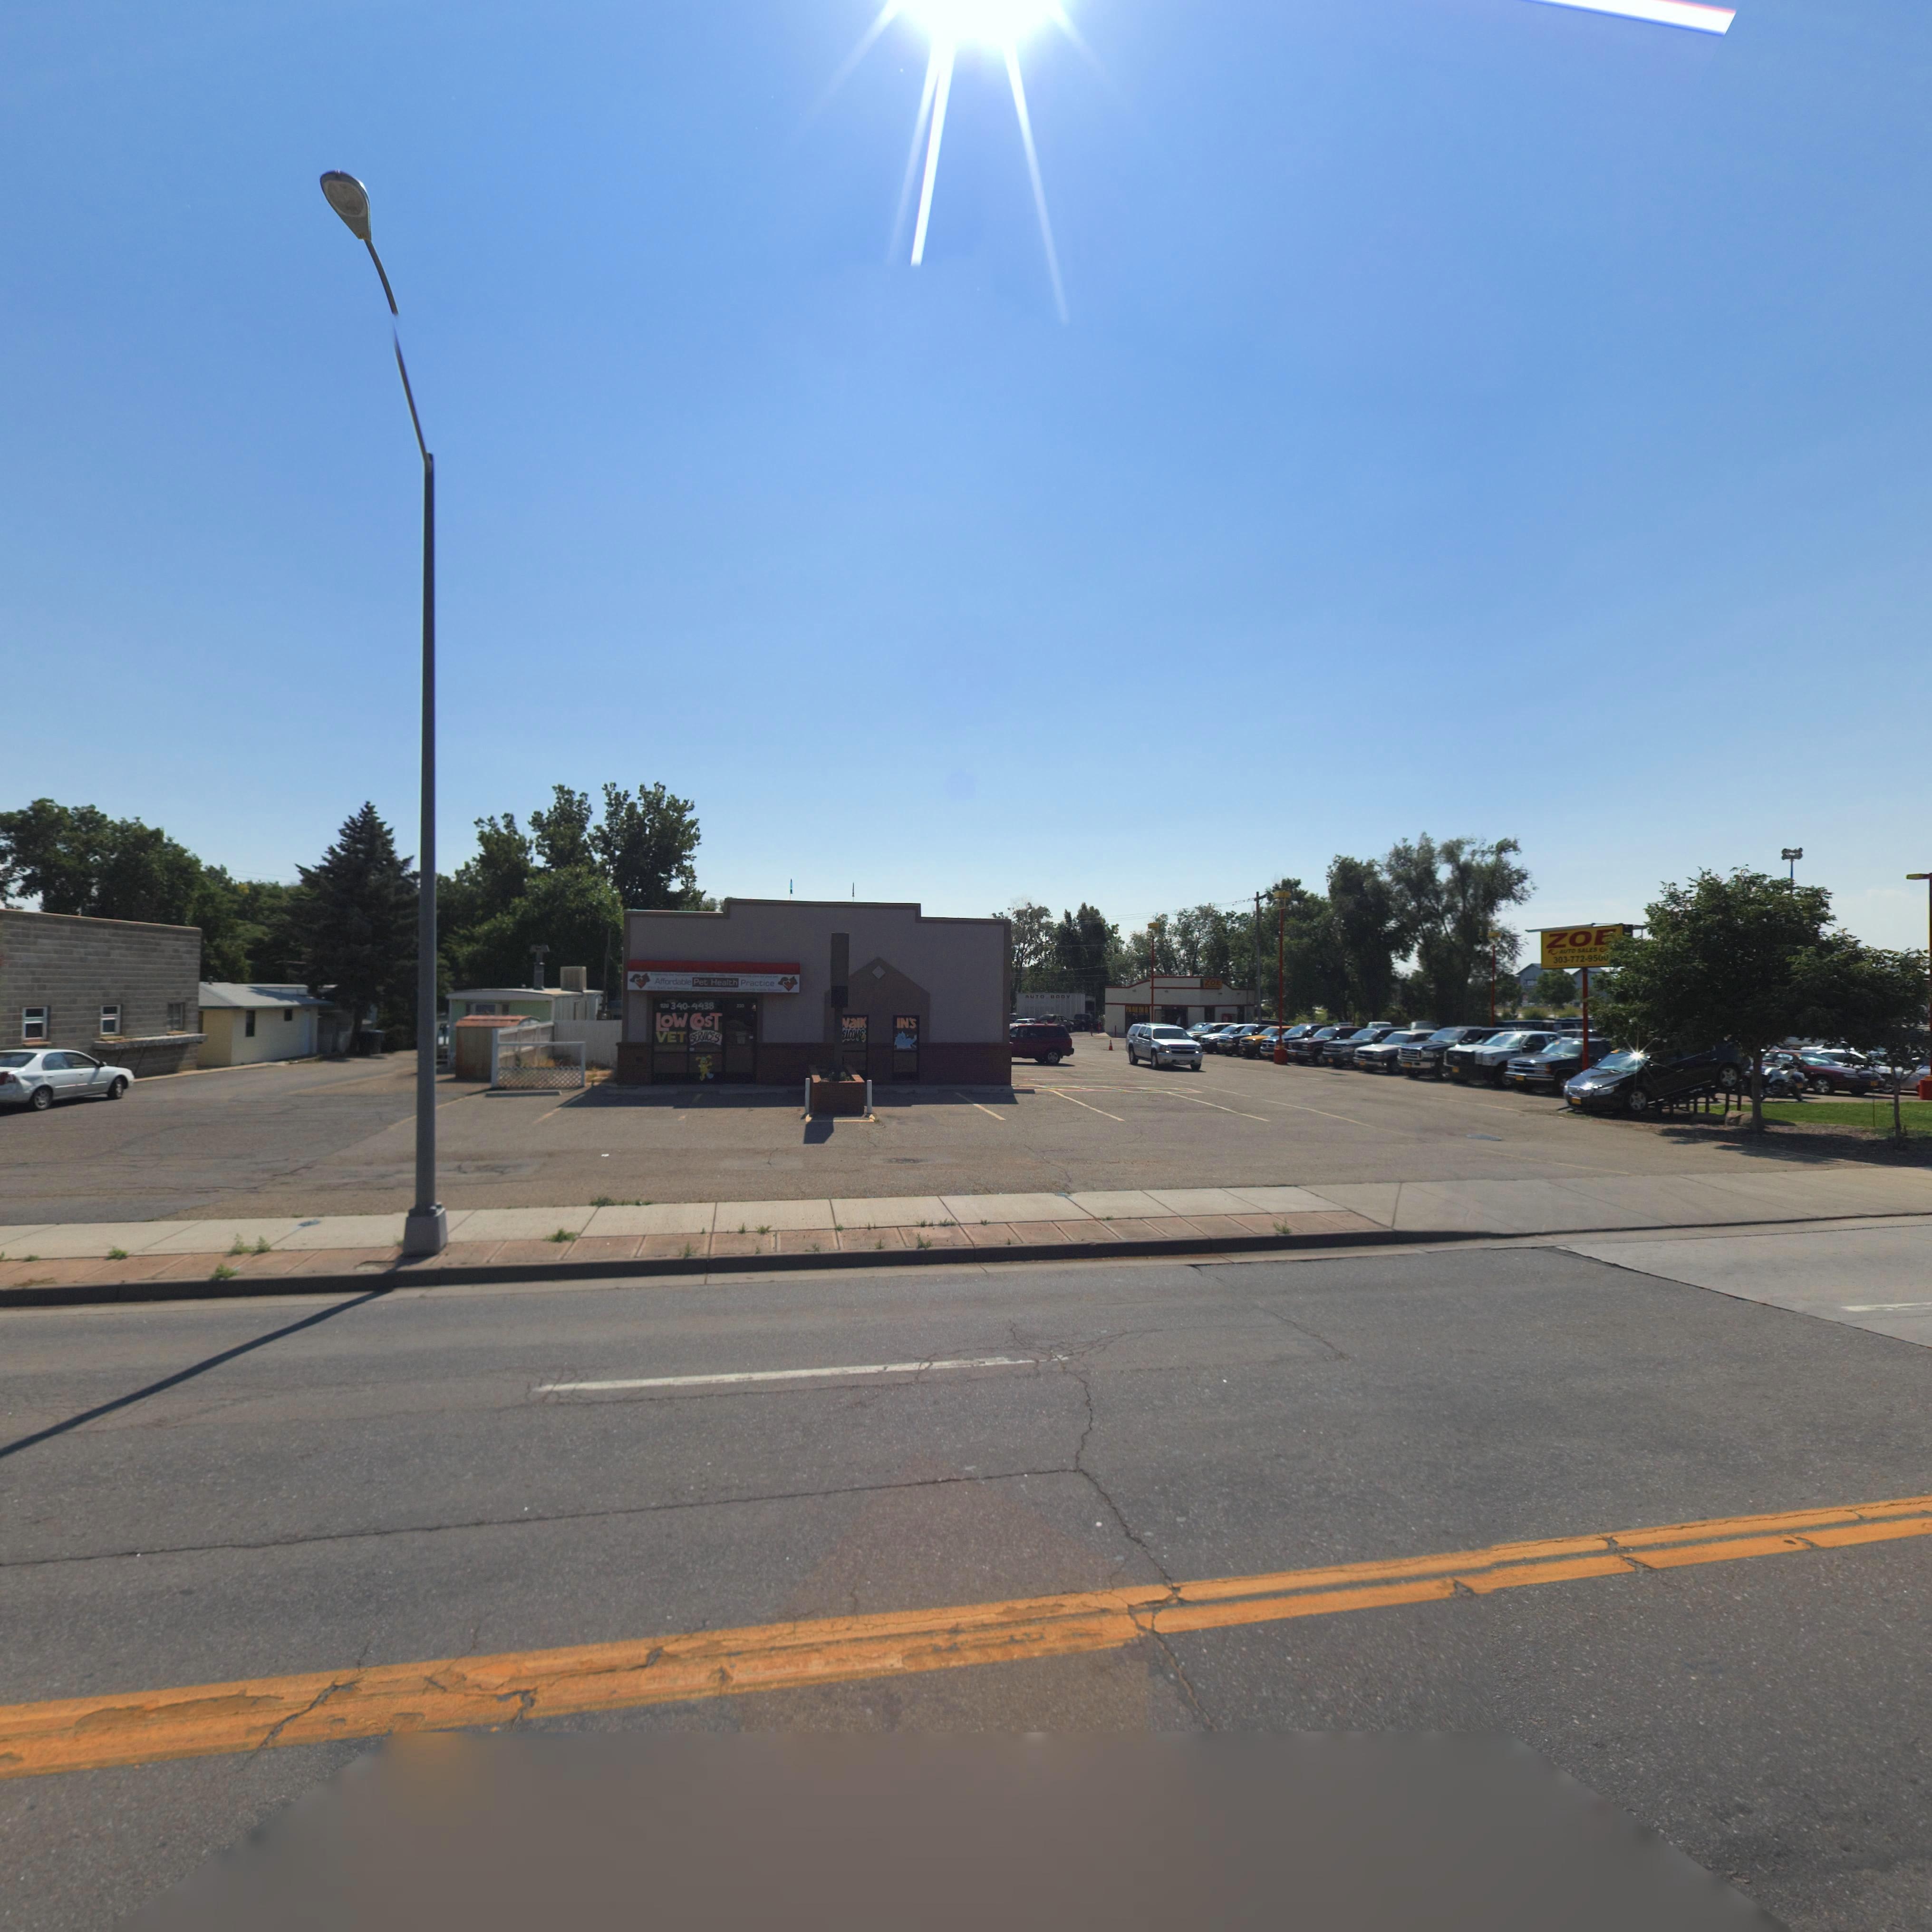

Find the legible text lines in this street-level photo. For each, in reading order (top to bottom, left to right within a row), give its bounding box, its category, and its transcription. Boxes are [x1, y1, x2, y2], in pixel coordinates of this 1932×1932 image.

[1546, 927, 1617, 949] BusinessName: ZO*
[1559, 947, 1598, 954] BusinessName: AUTO SALES
[653, 977, 774, 986] BusinessName: Affordable Pet Health Practice
[1204, 980, 1221, 985] BusinessName: ZOE
[735, 1004, 744, 1008] StreetNumber: 230